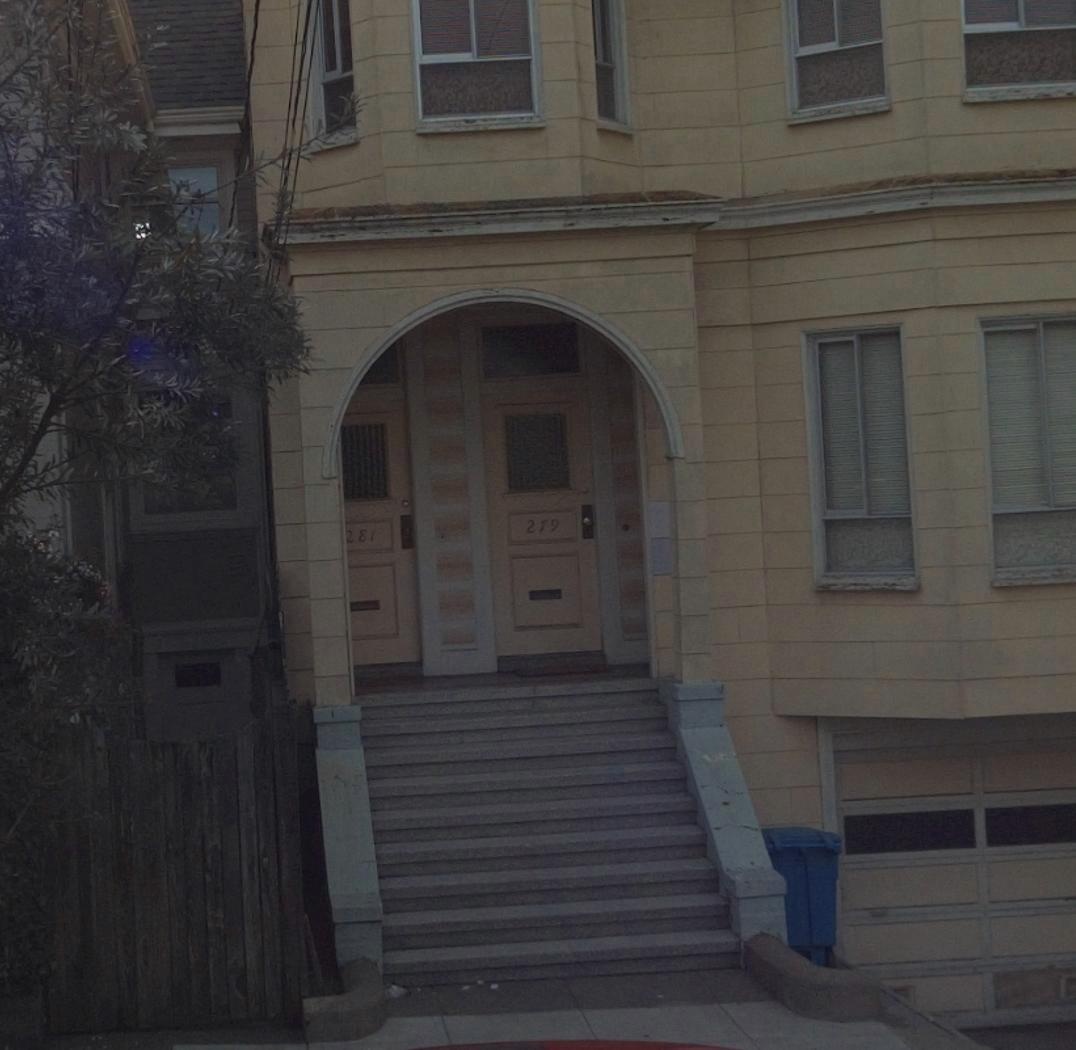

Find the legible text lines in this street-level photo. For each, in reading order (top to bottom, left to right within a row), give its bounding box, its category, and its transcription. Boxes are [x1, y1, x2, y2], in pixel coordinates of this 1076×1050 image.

[526, 518, 559, 534] StreetNumber: 219
[345, 528, 377, 545] StreetNumber: 281